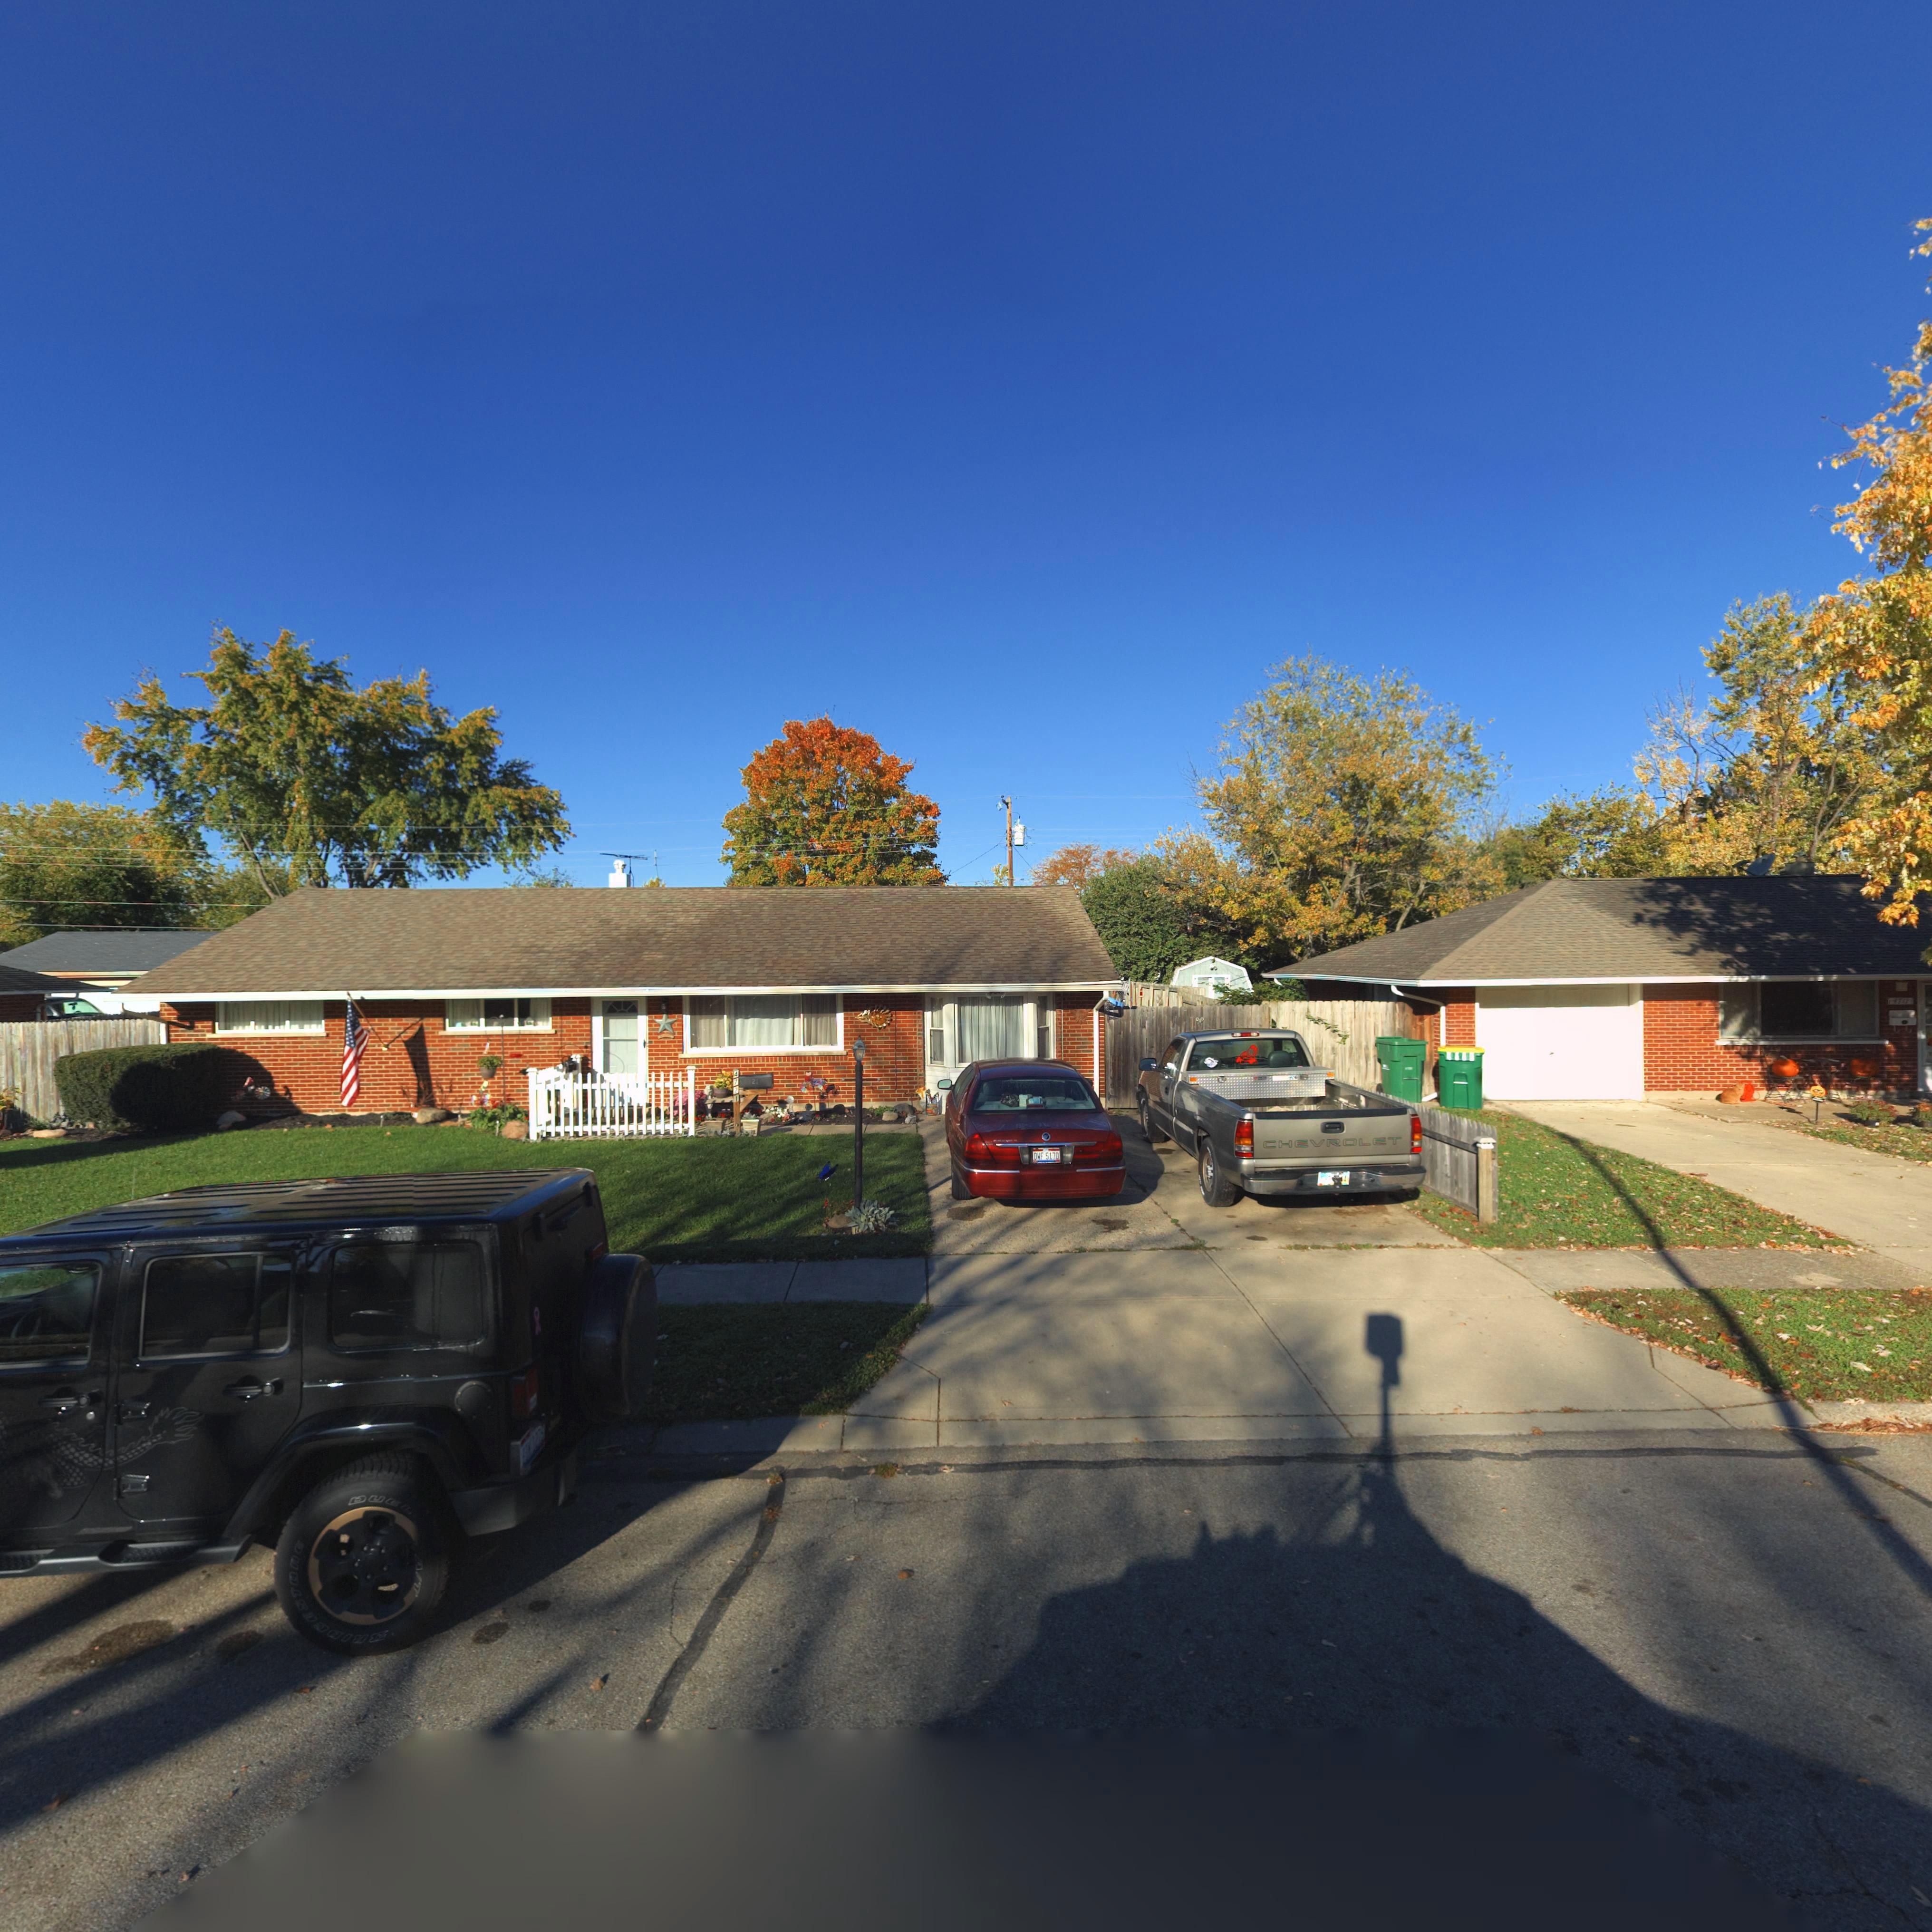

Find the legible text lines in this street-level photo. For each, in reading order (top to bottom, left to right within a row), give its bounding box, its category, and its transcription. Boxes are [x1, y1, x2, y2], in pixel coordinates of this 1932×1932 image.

[734, 1070, 738, 1102] StreetNumber: 4721
[743, 1078, 759, 1085] StreetNumber: 4721